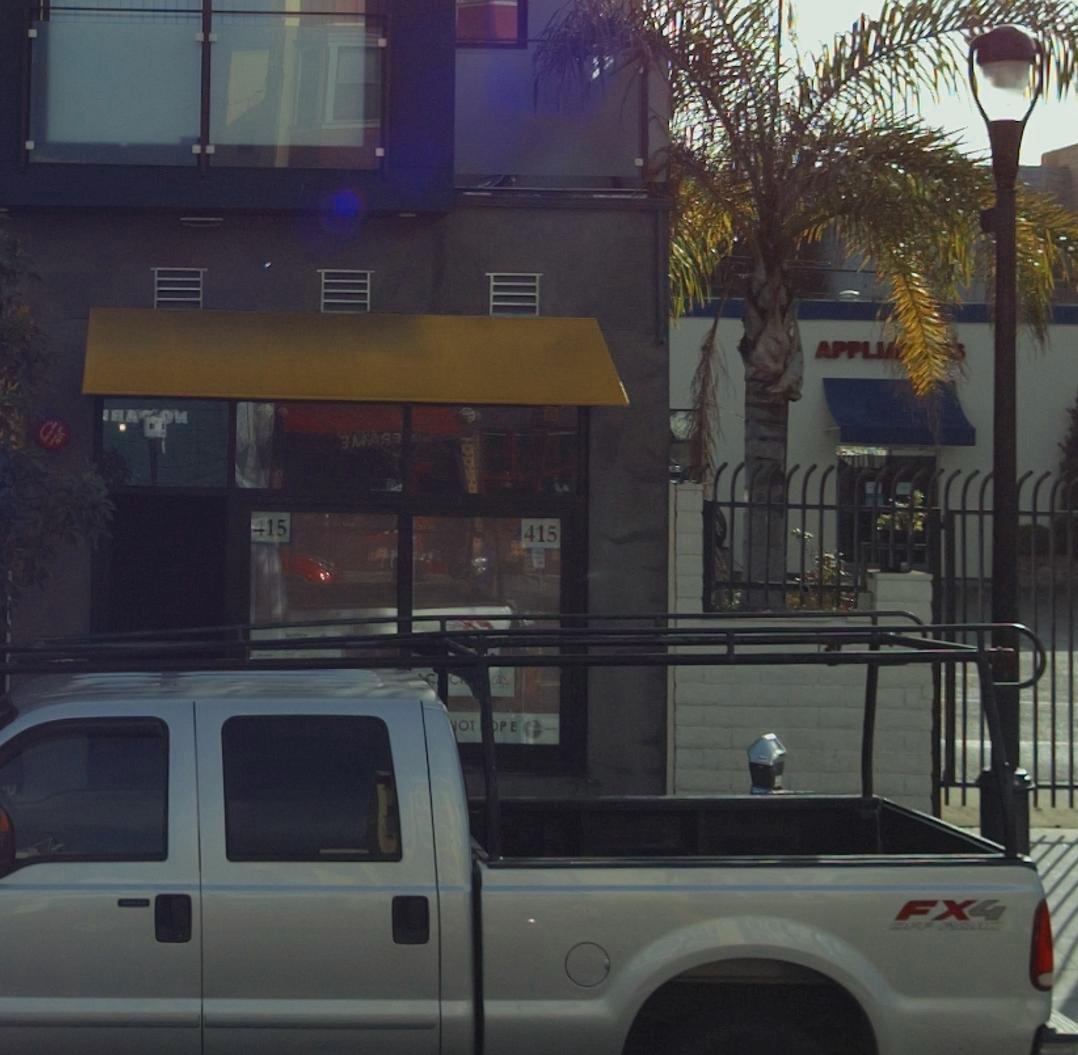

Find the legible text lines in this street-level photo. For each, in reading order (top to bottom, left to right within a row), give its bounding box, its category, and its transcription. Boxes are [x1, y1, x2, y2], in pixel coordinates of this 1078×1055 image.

[814, 339, 885, 358] None: APPLI
[250, 516, 285, 535] StreetNumber: 415
[523, 523, 558, 543] StreetNumber: 415
[456, 718, 475, 731] None: OT
[499, 719, 517, 733] None: PE
[893, 897, 1004, 920] None: FX4